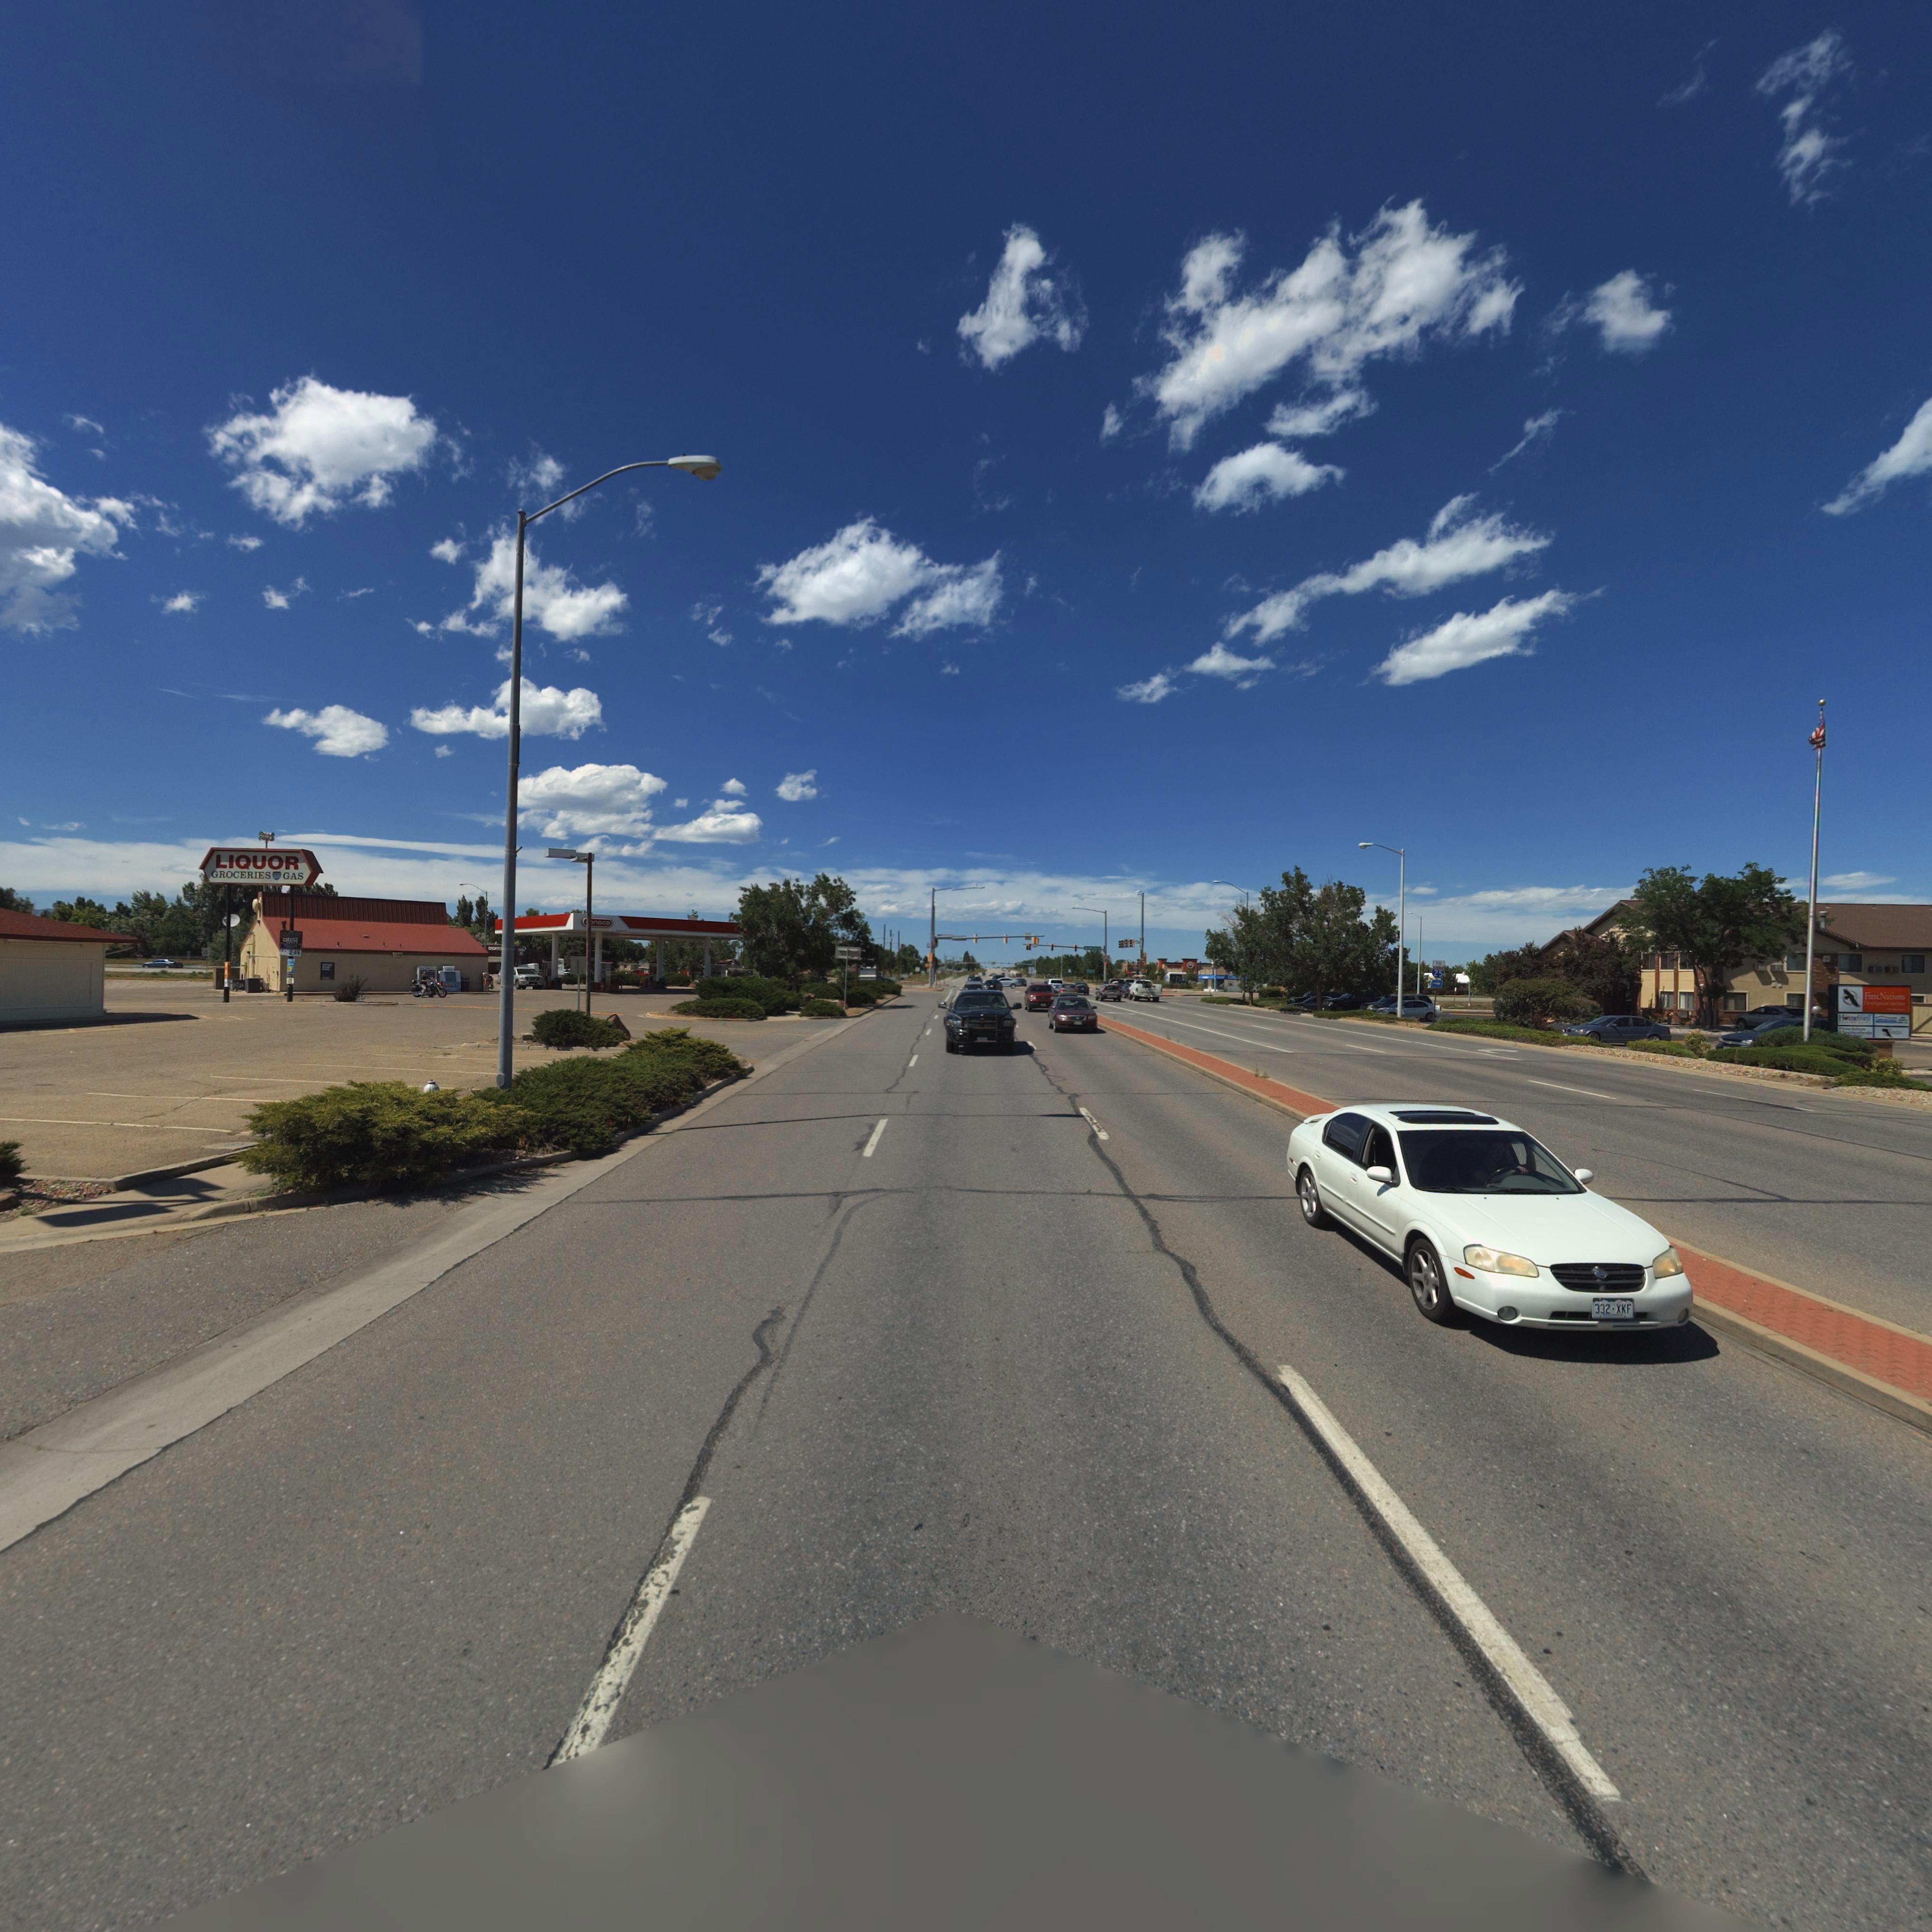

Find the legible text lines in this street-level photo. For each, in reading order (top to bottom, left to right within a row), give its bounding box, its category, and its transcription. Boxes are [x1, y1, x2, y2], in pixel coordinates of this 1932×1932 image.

[585, 920, 610, 925] BusinessName: *onoco
[1864, 991, 1905, 1000] BusinessName: First Nations
[1839, 1014, 1871, 1021] BusinessName: H********